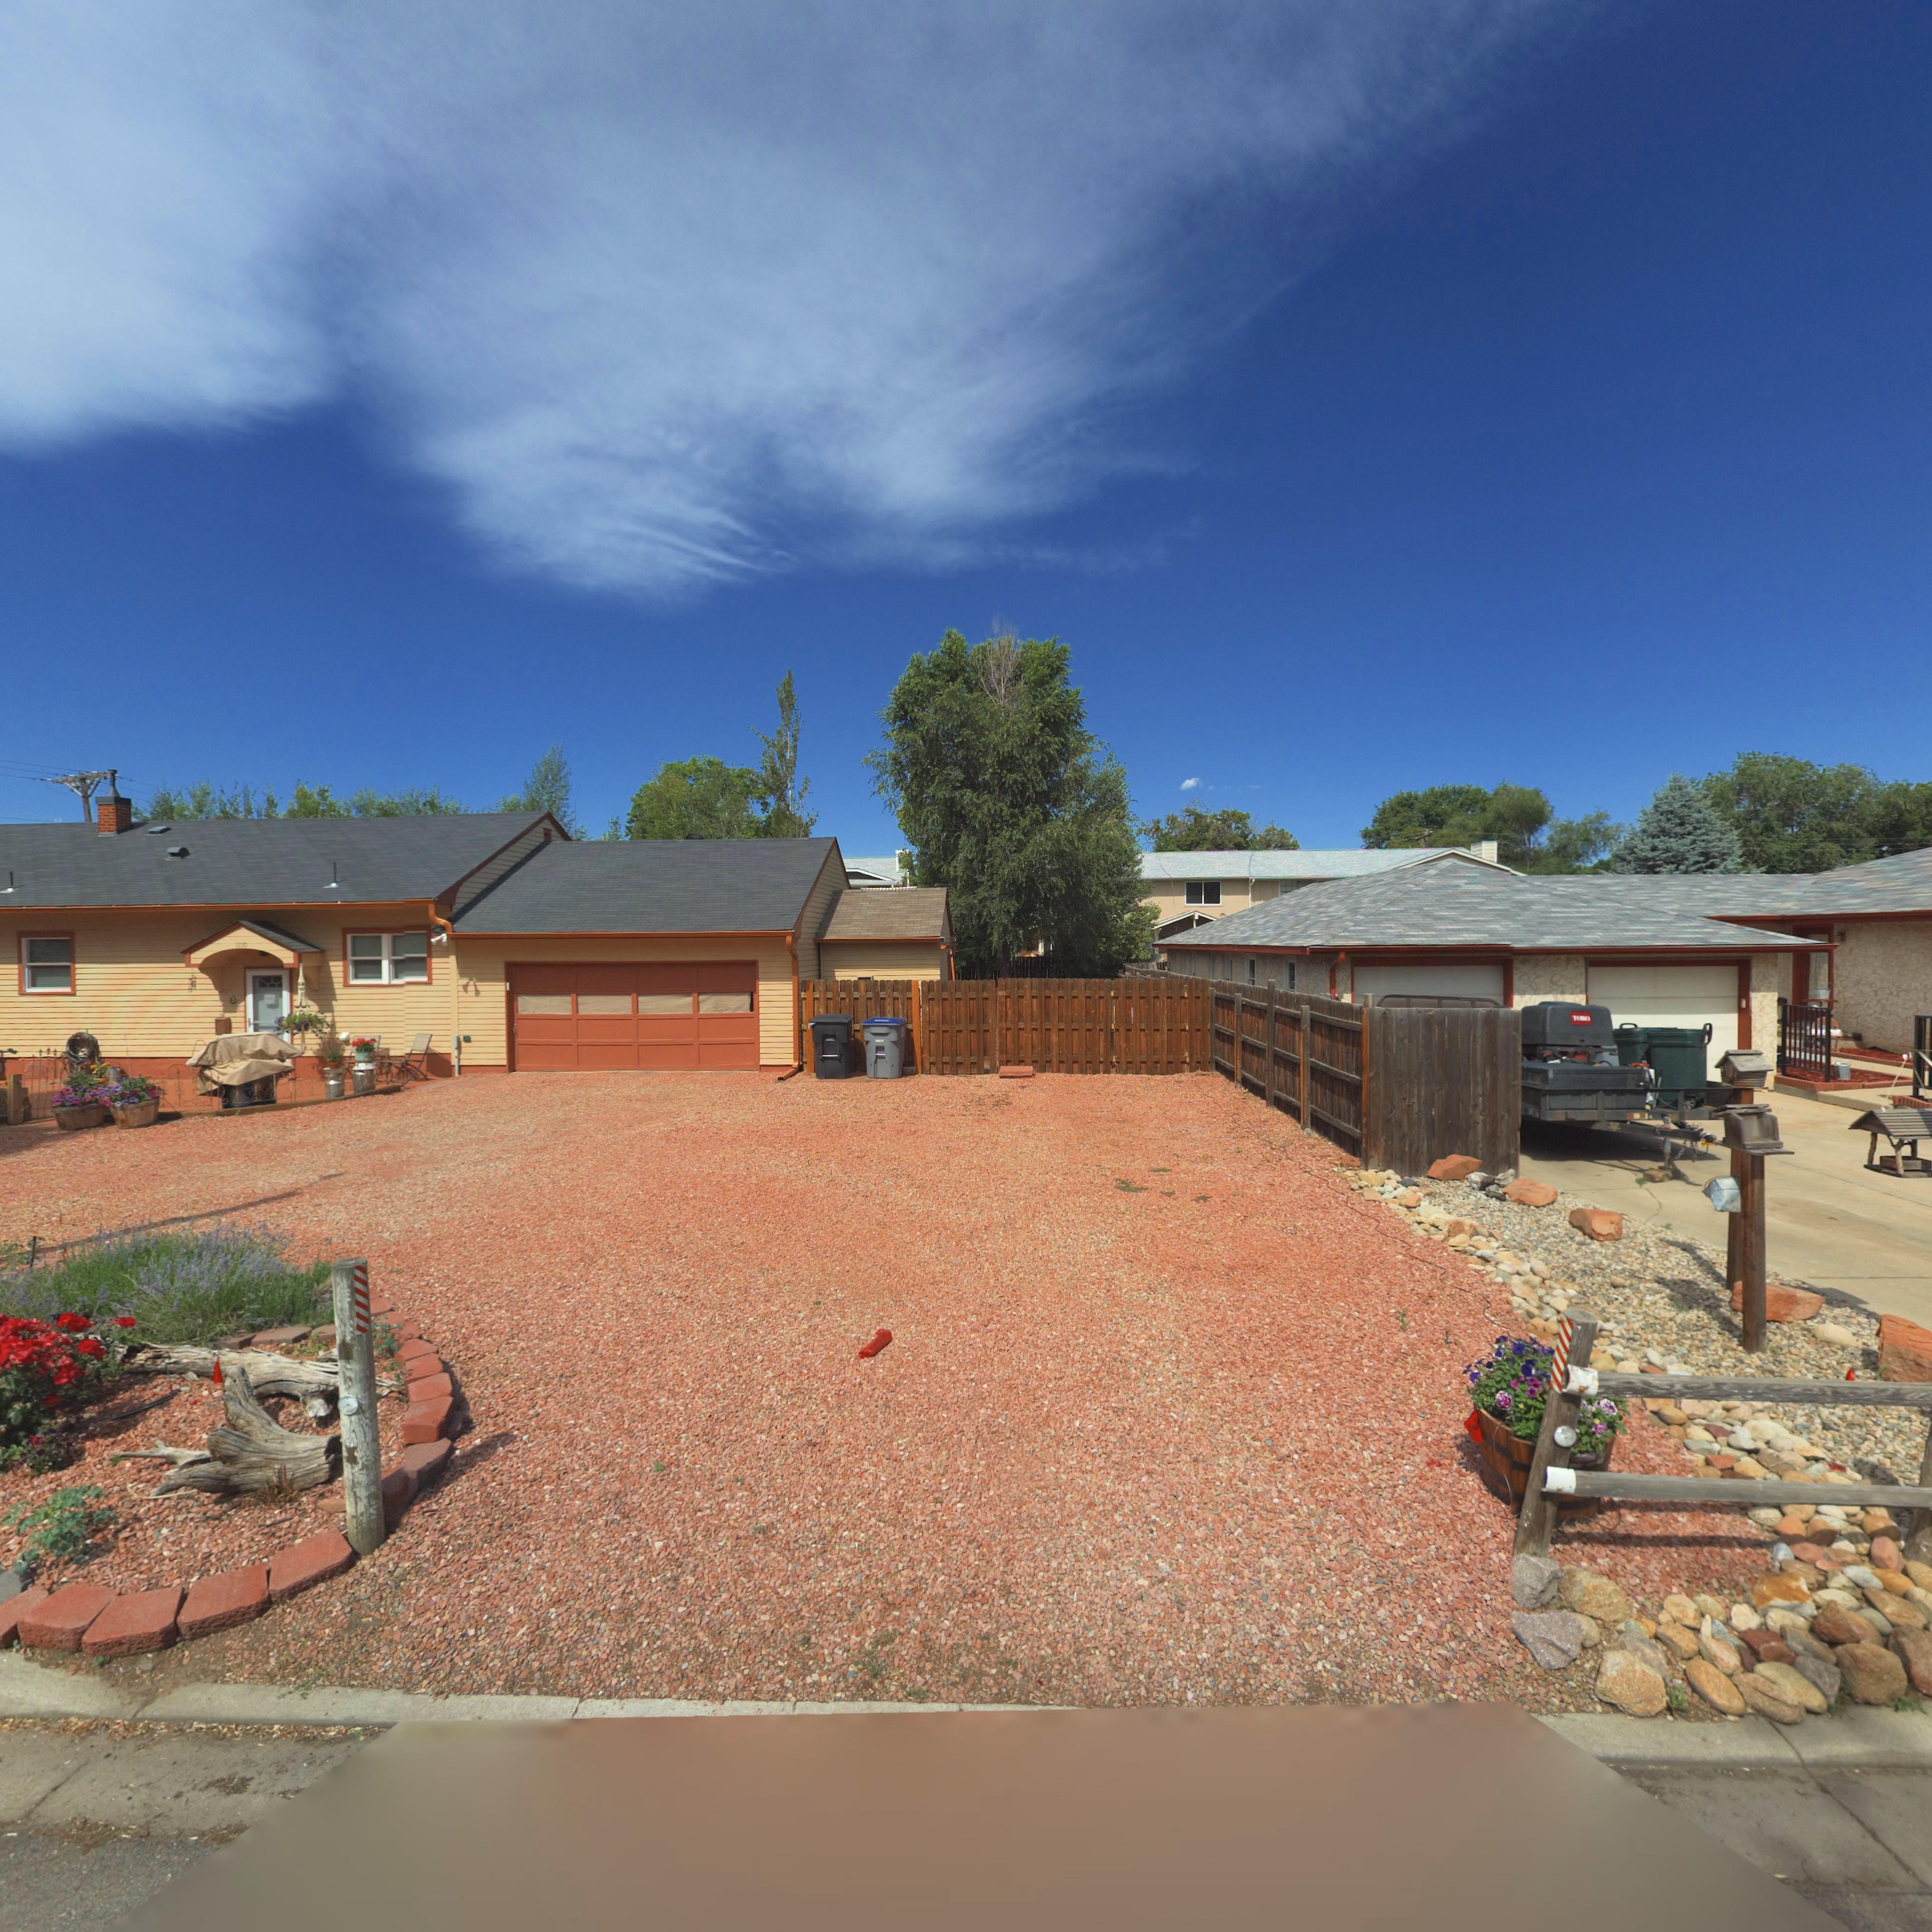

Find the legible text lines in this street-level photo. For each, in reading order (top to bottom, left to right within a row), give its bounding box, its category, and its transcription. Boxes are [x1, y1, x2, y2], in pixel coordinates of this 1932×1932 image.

[235, 942, 247, 947] StreetNumber: 11*0